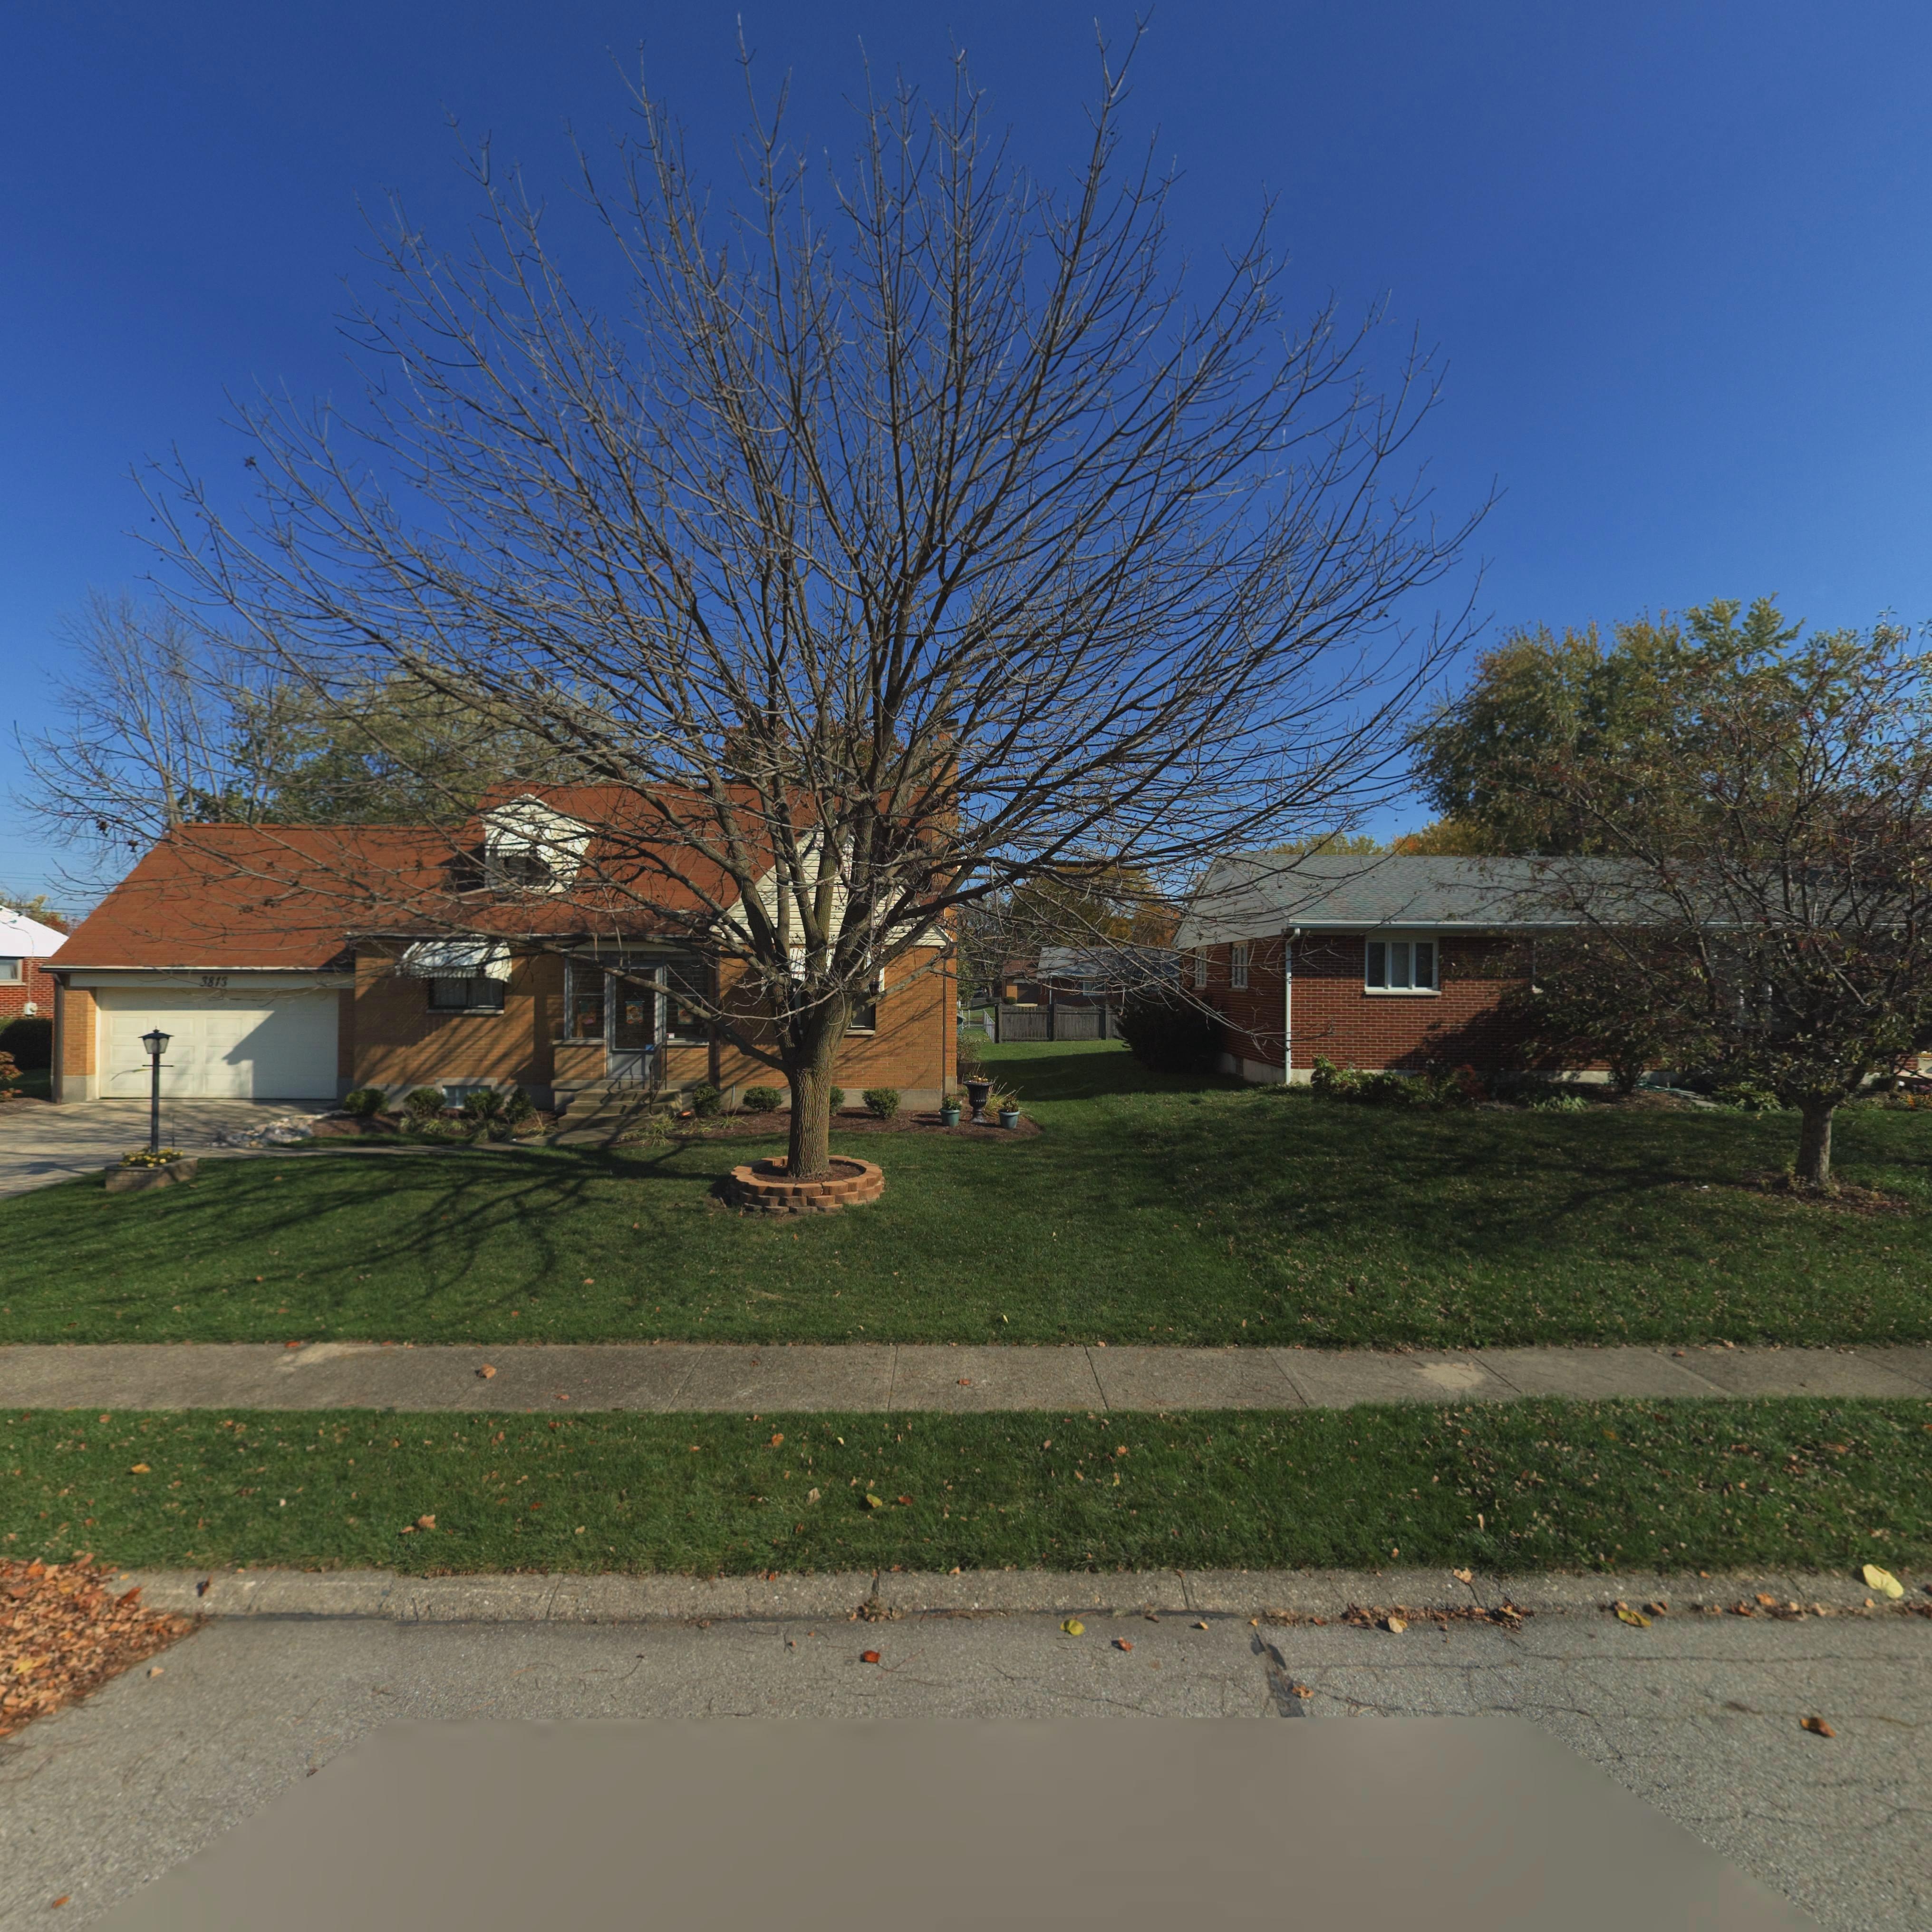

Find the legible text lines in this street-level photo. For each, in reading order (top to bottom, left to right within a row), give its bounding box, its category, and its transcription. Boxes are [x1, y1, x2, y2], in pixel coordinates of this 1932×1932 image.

[198, 976, 229, 988] StreetNumber: 3813